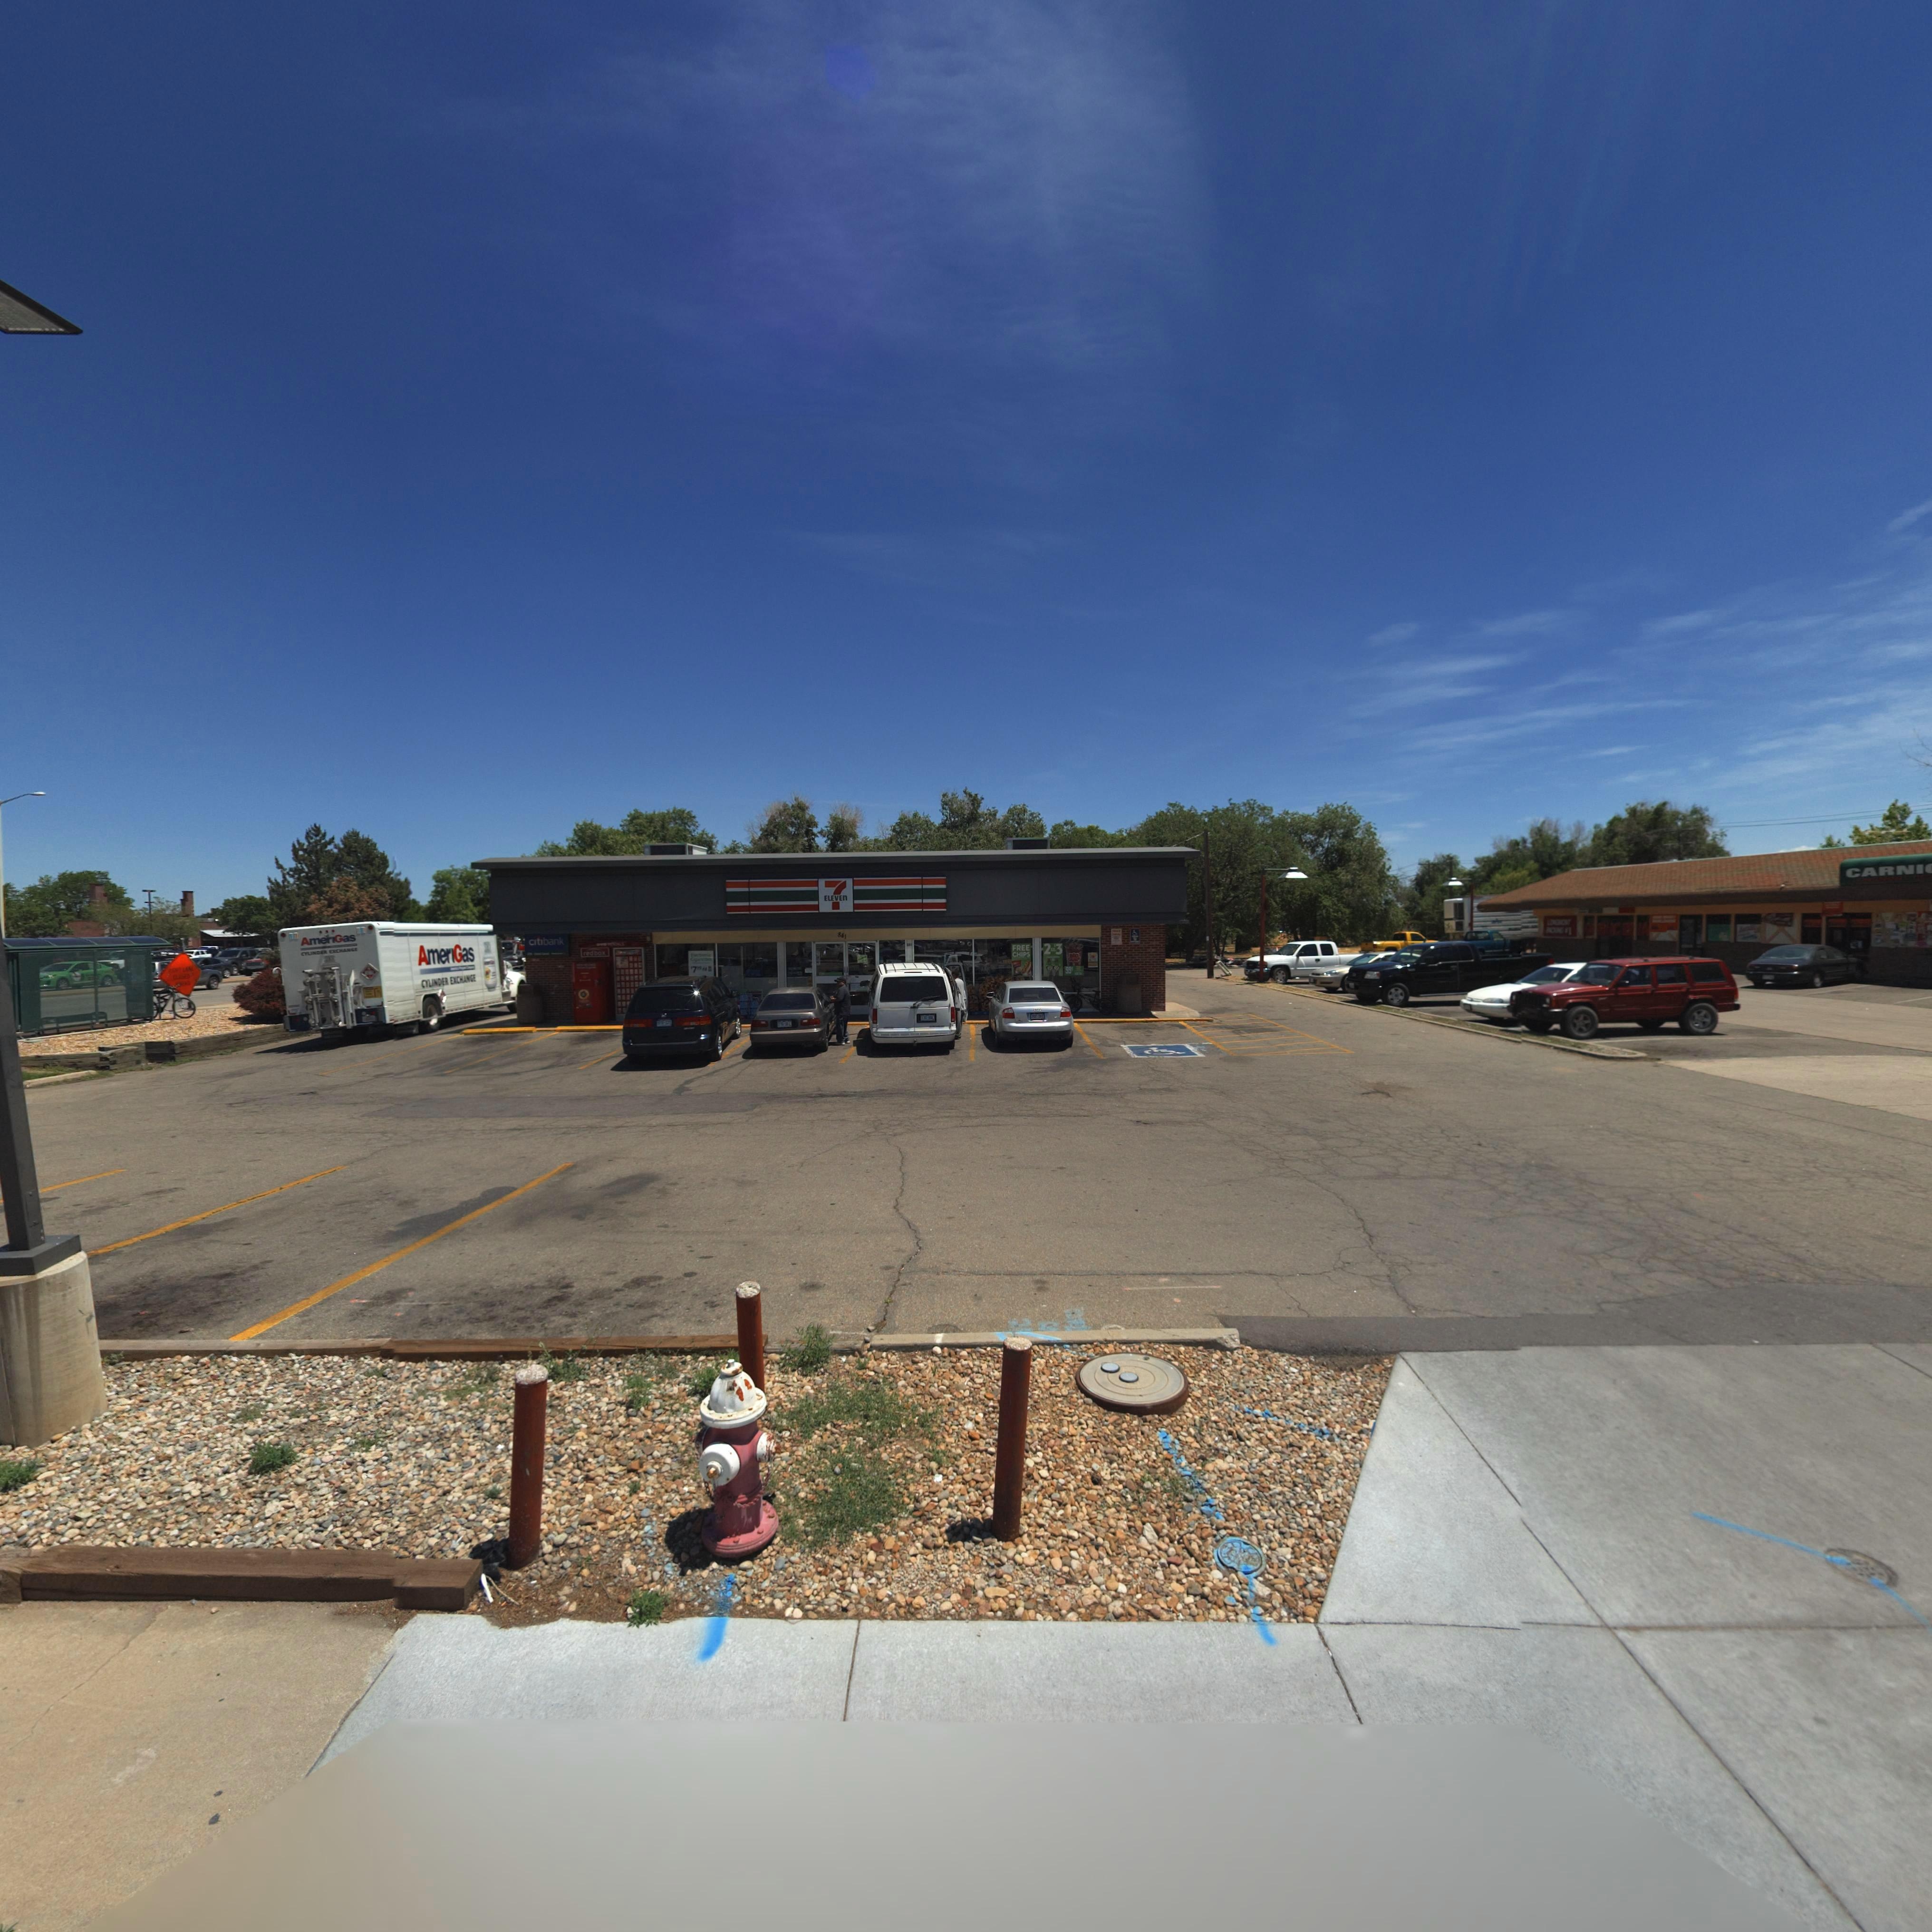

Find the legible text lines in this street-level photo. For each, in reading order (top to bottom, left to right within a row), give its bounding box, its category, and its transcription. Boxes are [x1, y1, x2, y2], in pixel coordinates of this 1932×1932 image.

[823, 879, 847, 911] BusinessName: 7
[823, 895, 847, 901] BusinessName: ELEVEn
[837, 931, 847, 939] StreetNumber: 841
[528, 936, 564, 946] BusinessName: citibank
[583, 949, 606, 956] BusinessName: redbox